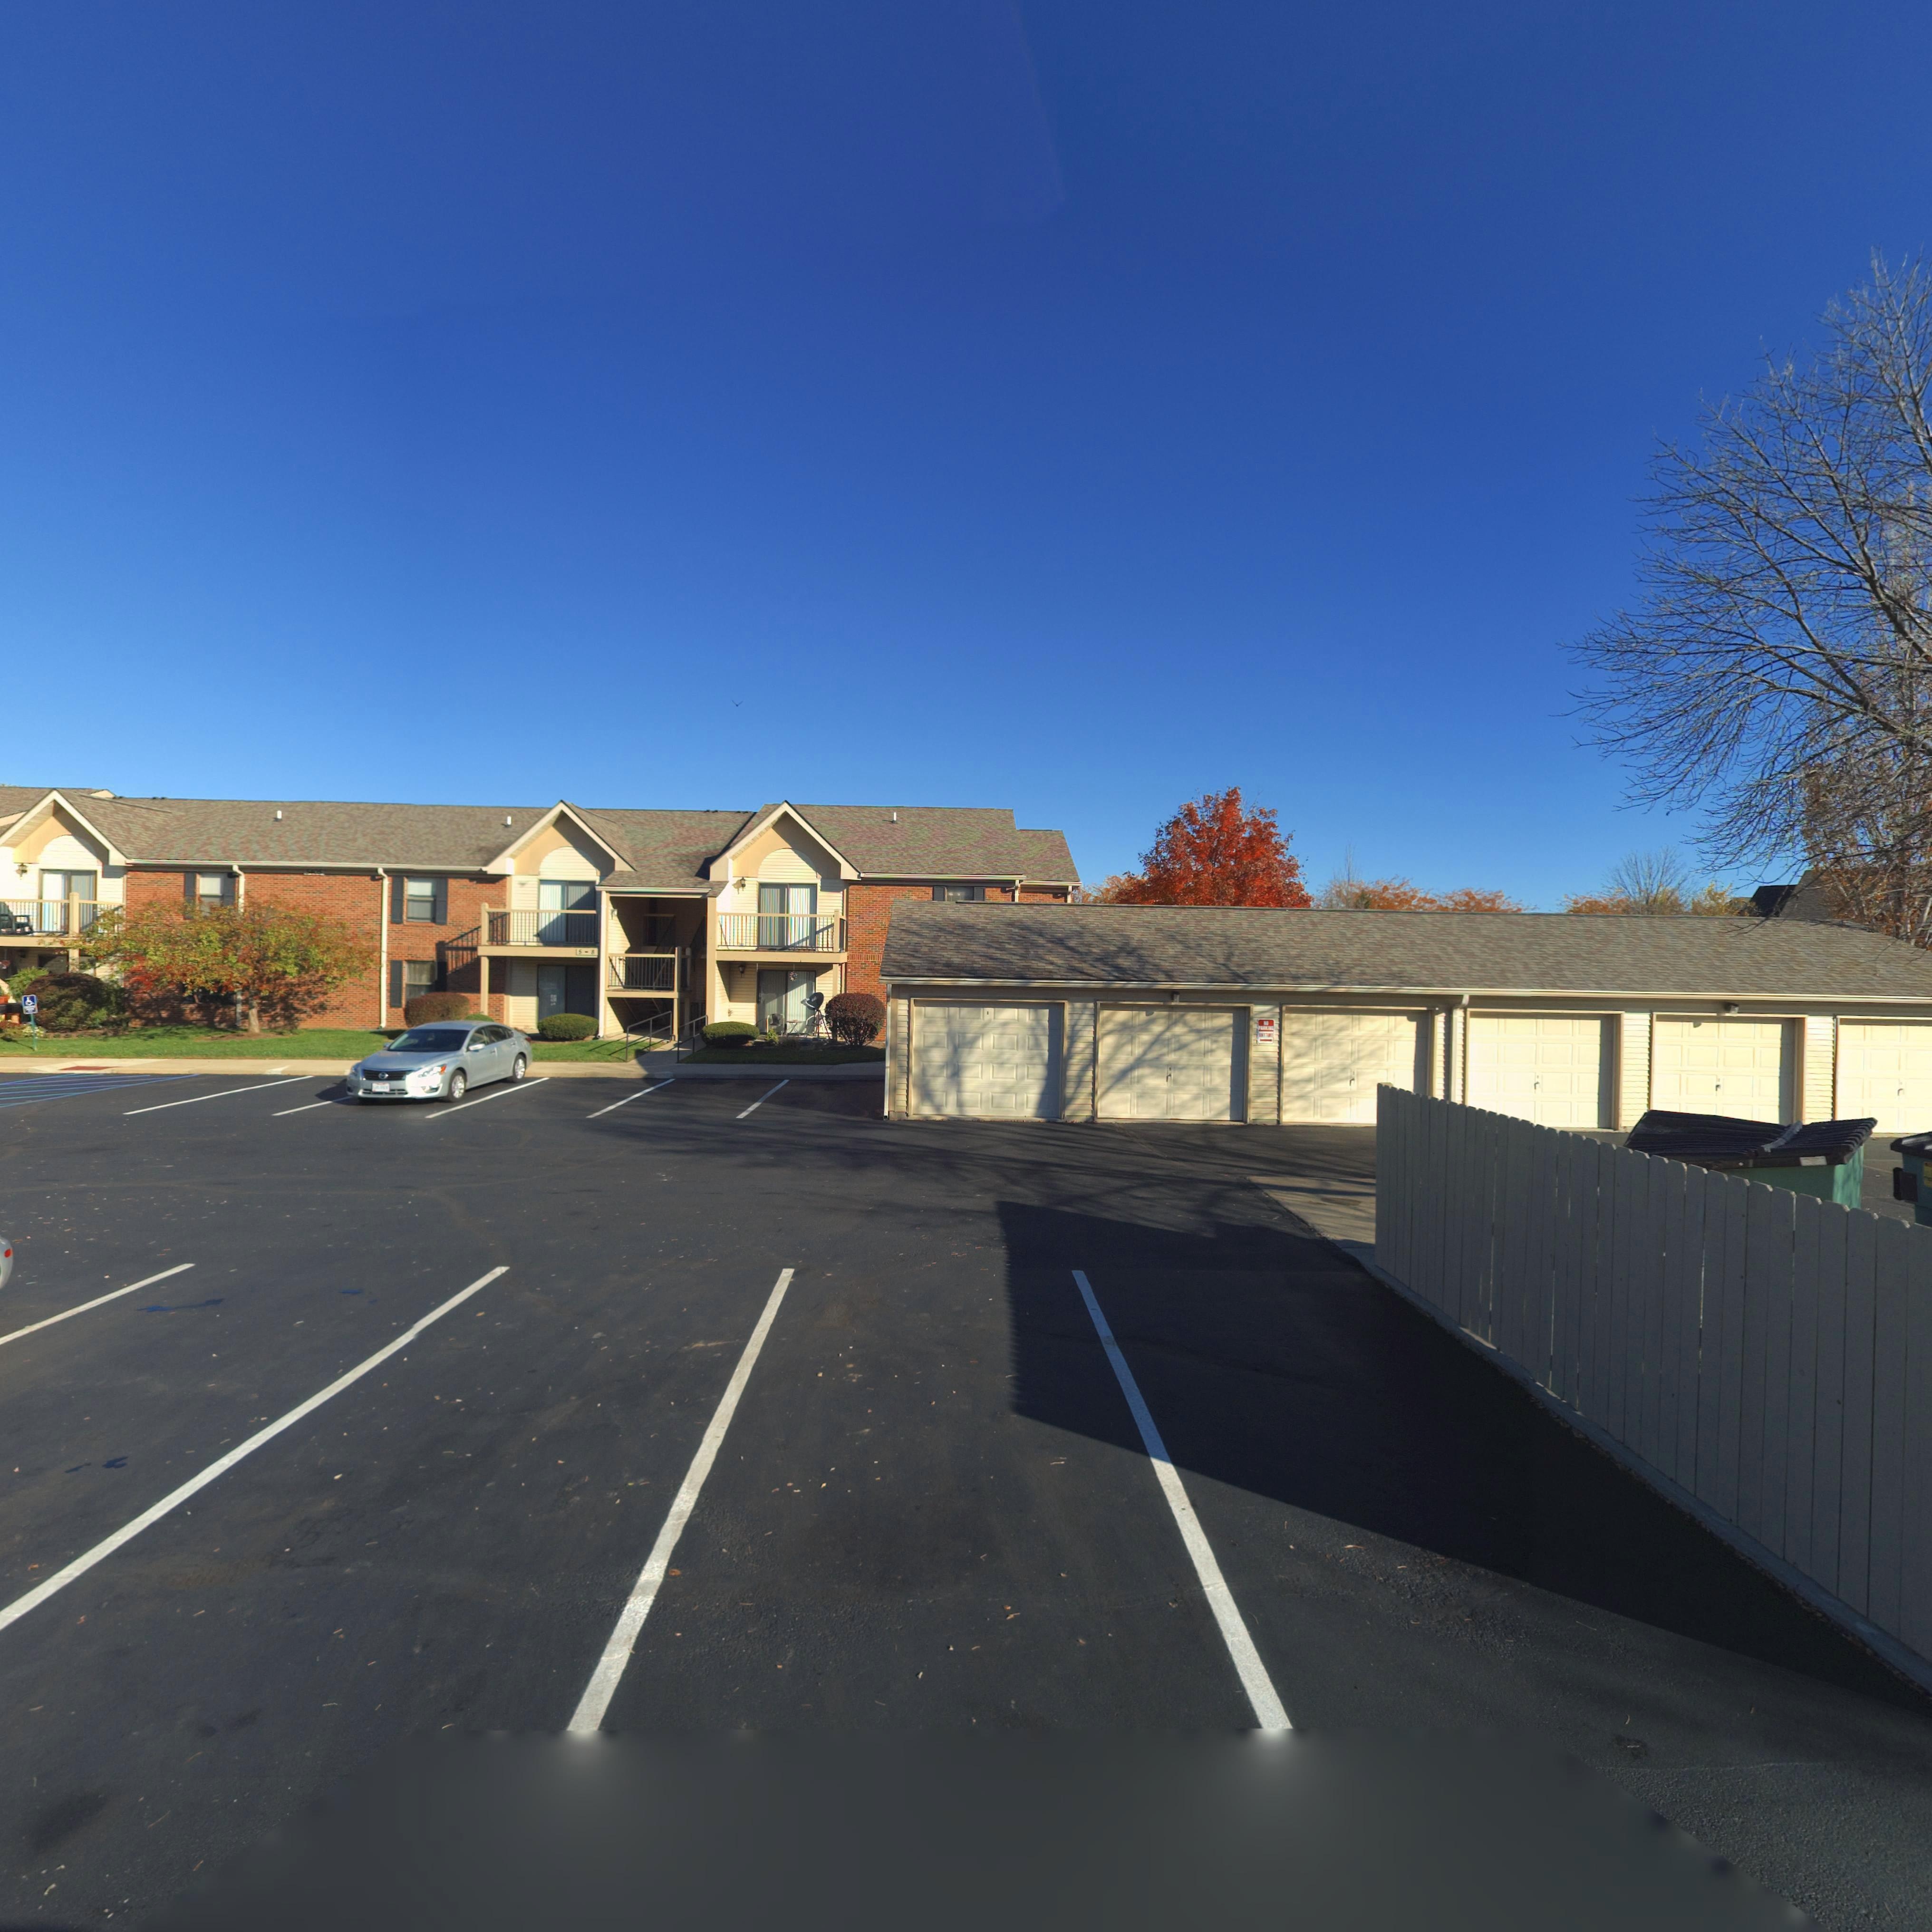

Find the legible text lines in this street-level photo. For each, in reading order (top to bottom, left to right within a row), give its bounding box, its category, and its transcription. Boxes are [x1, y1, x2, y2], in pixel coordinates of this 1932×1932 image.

[578, 948, 595, 955] StreetNumber: 5-8